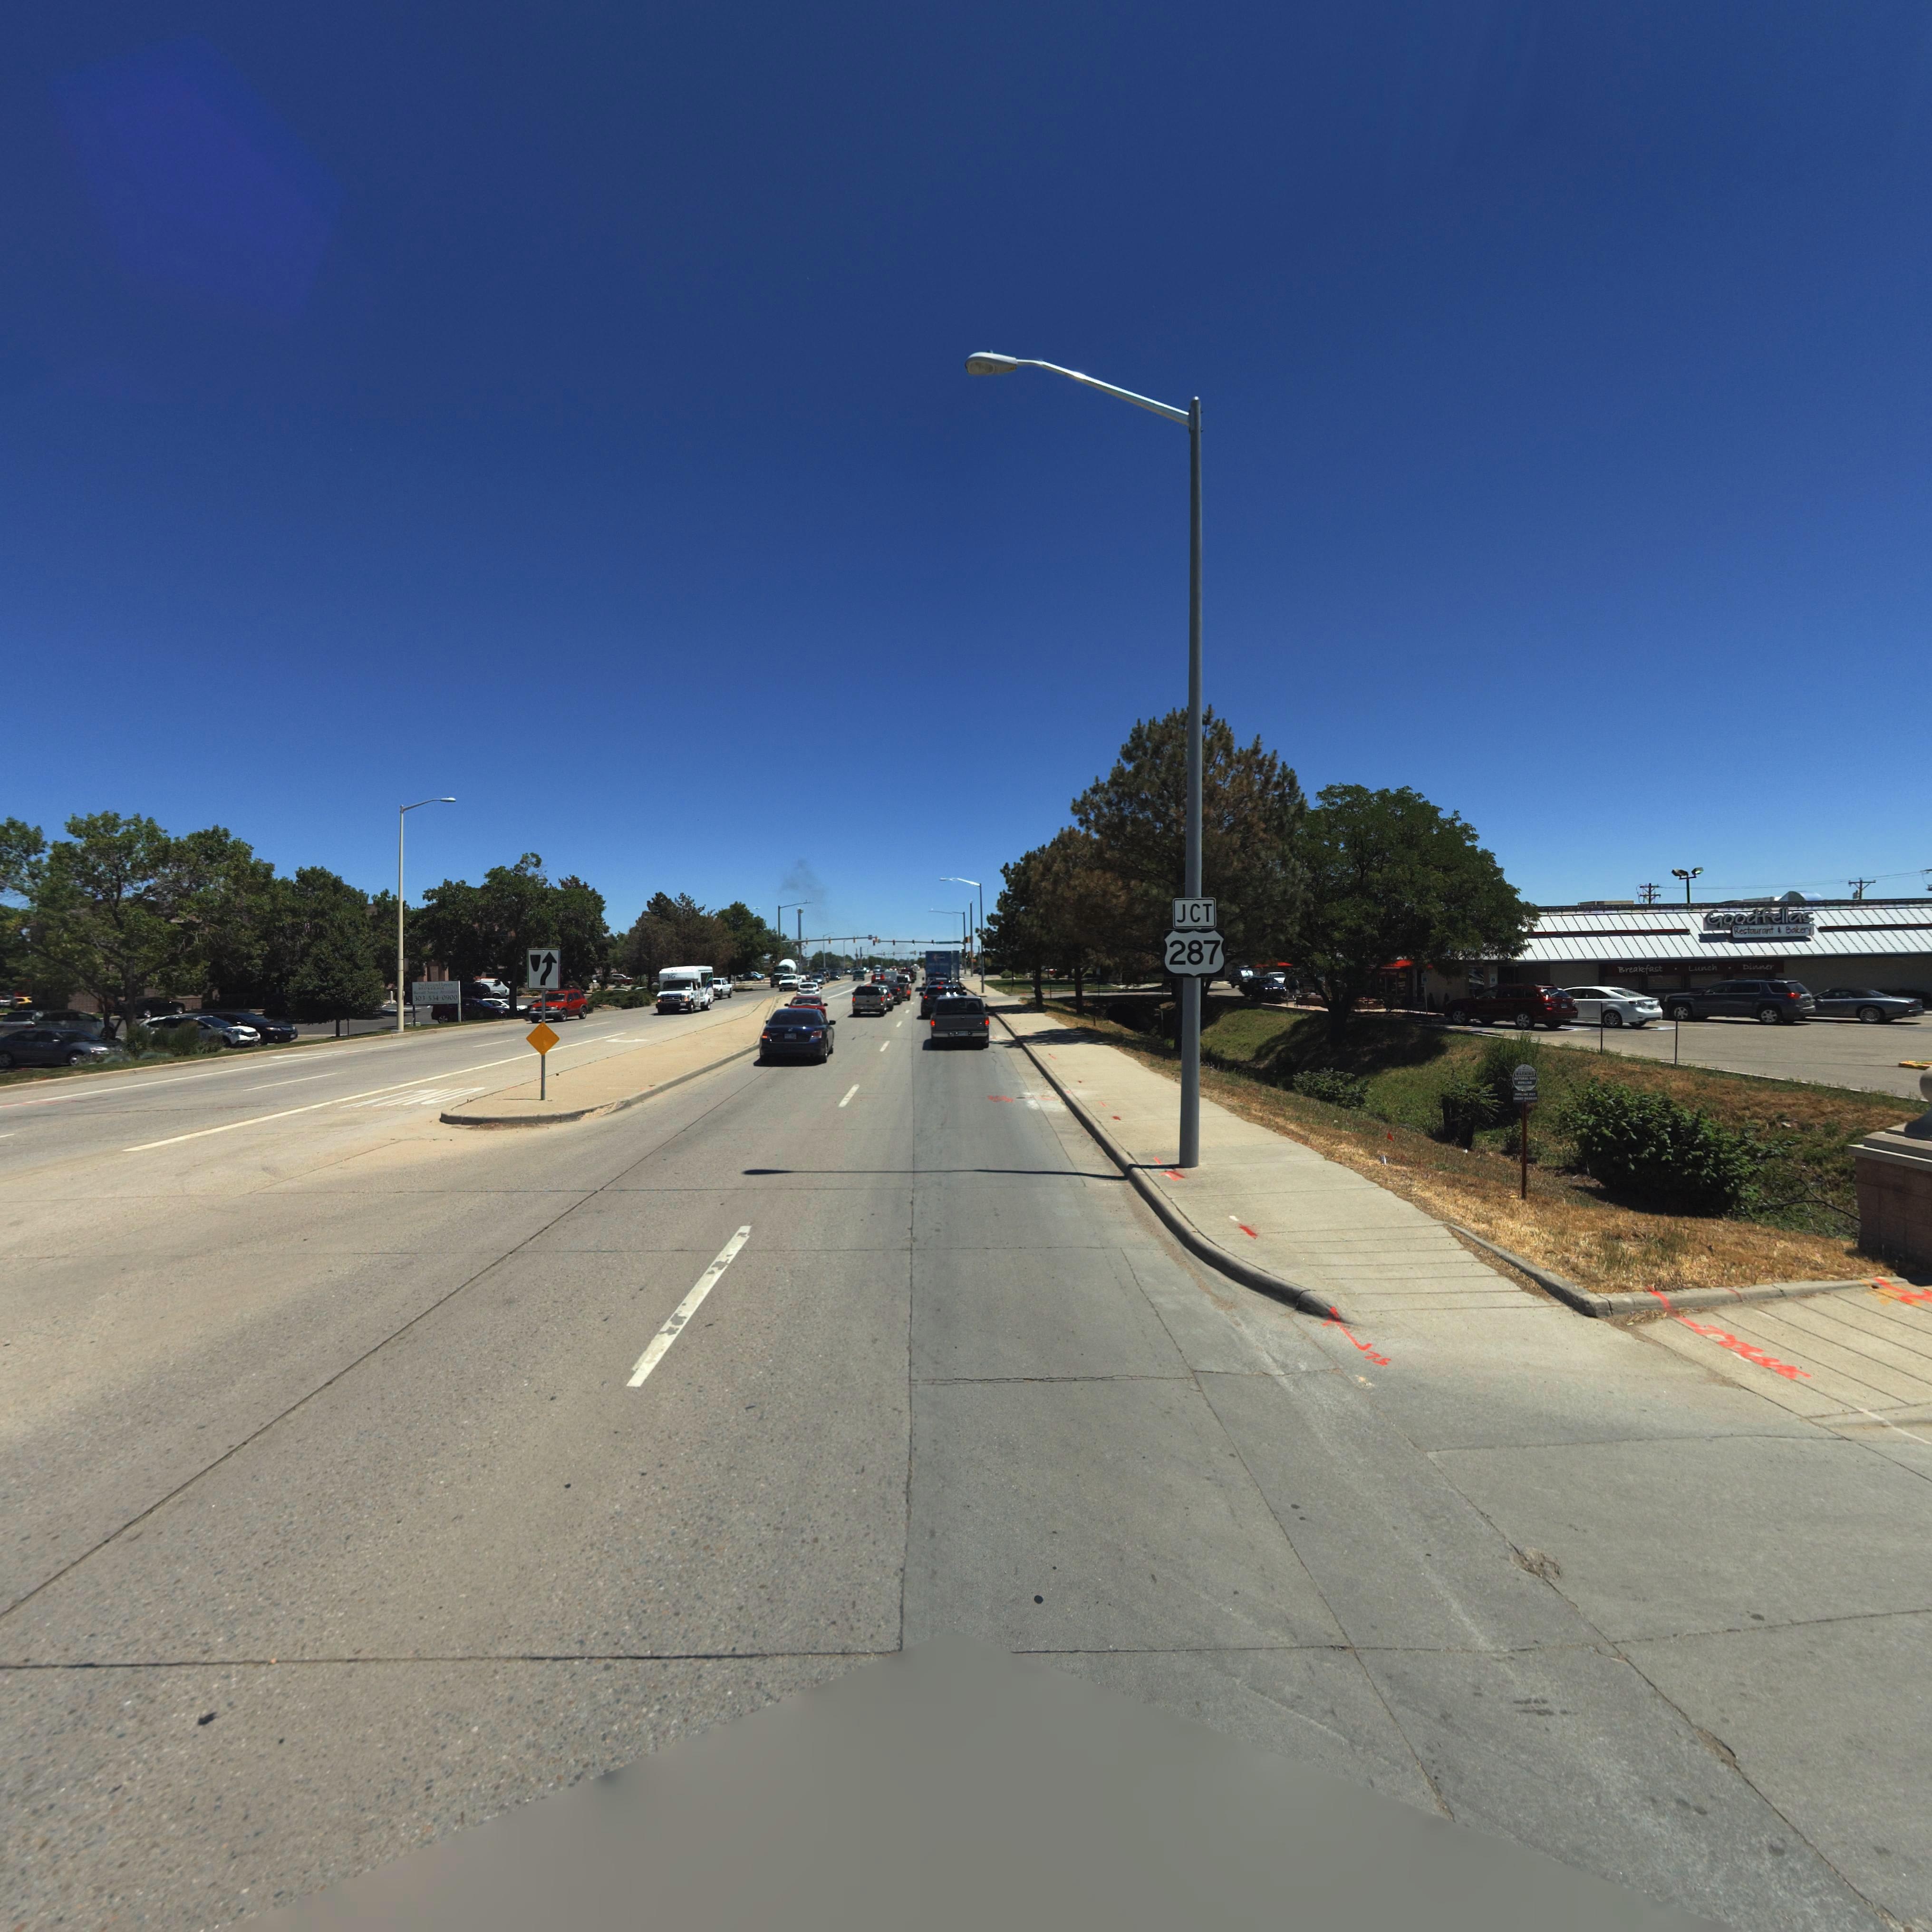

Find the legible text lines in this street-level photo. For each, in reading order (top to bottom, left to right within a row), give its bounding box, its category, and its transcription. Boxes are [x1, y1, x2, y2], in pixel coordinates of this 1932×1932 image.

[1704, 906, 1815, 929] BusinessName: Goodfellas